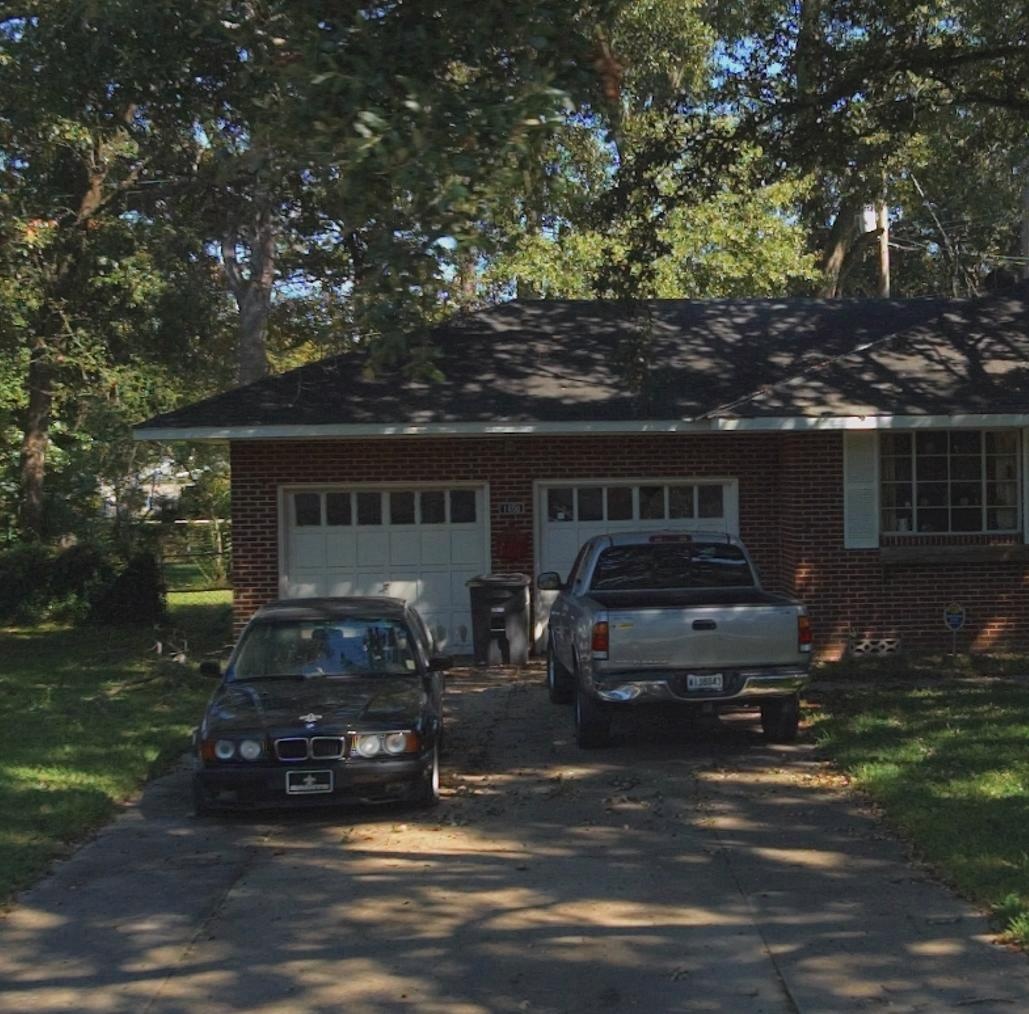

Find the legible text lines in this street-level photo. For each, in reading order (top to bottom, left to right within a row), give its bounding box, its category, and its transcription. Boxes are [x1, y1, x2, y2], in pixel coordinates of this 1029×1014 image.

[502, 502, 523, 514] StreetNumber: 1650